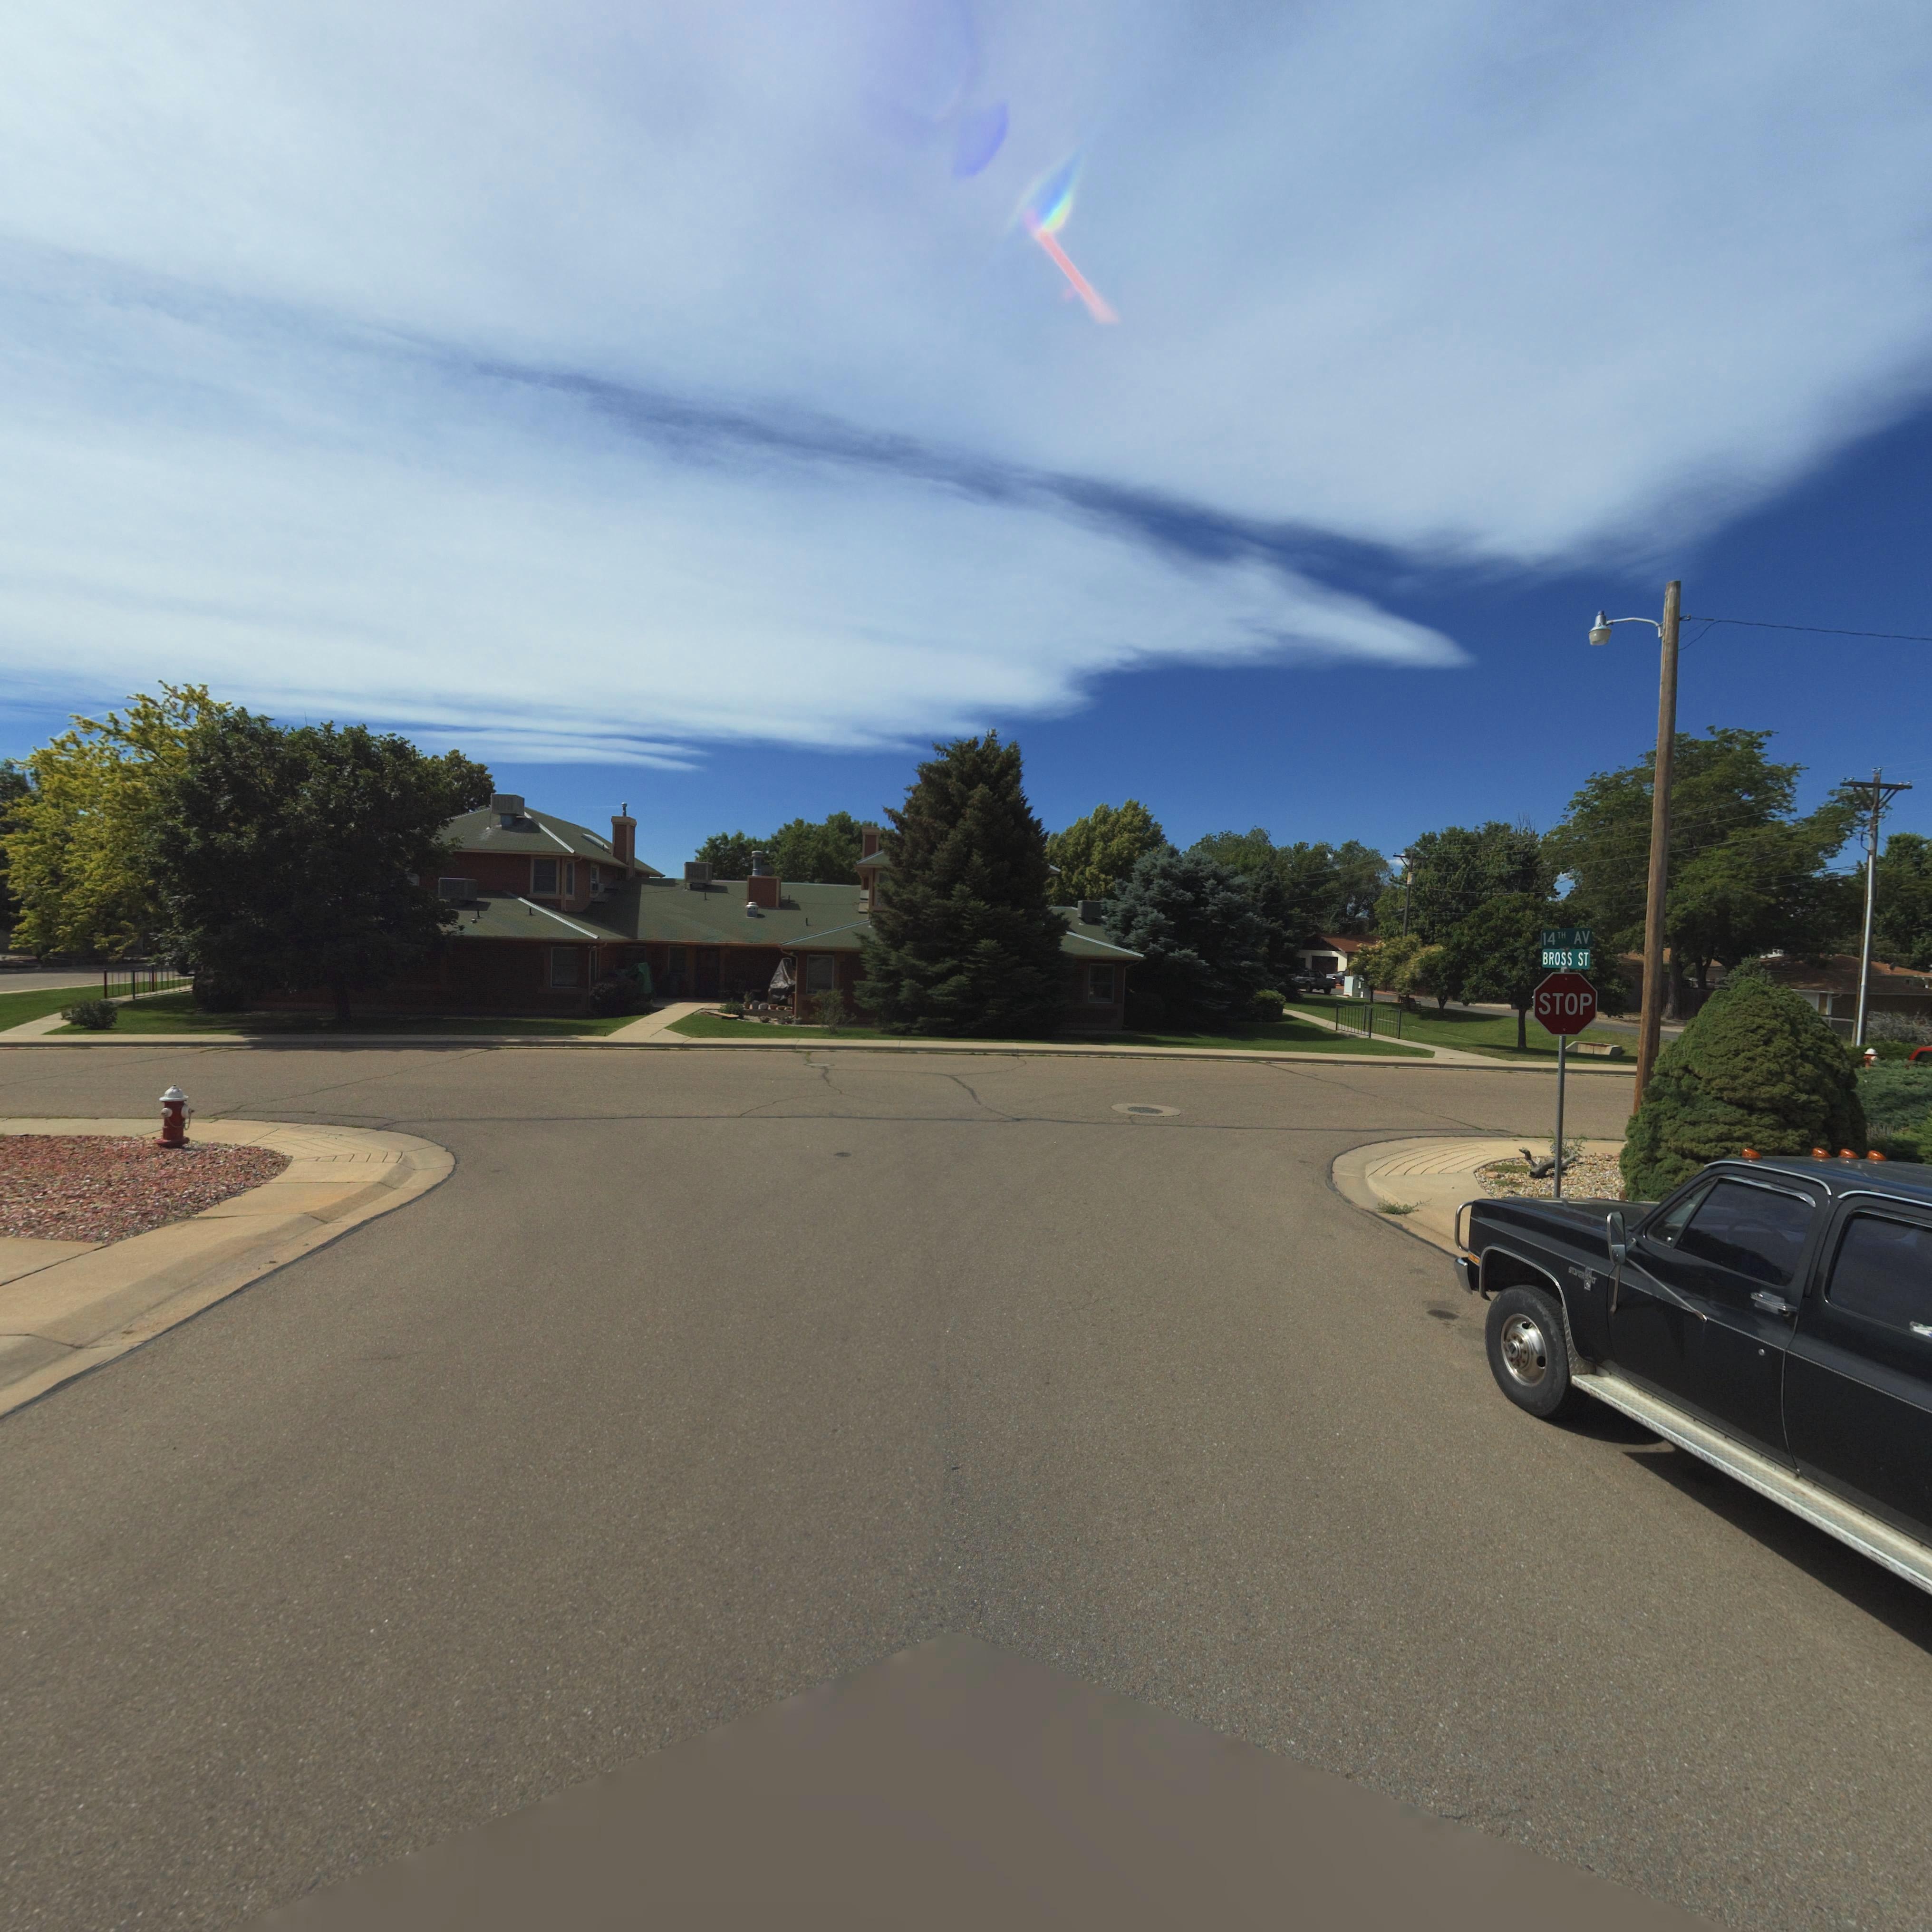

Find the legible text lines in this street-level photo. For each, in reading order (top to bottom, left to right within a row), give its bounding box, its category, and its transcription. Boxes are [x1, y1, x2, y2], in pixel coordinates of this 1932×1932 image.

[1542, 930, 1591, 947] StreetName: 14TH AV
[1543, 951, 1589, 966] StreetName: BROSS ST